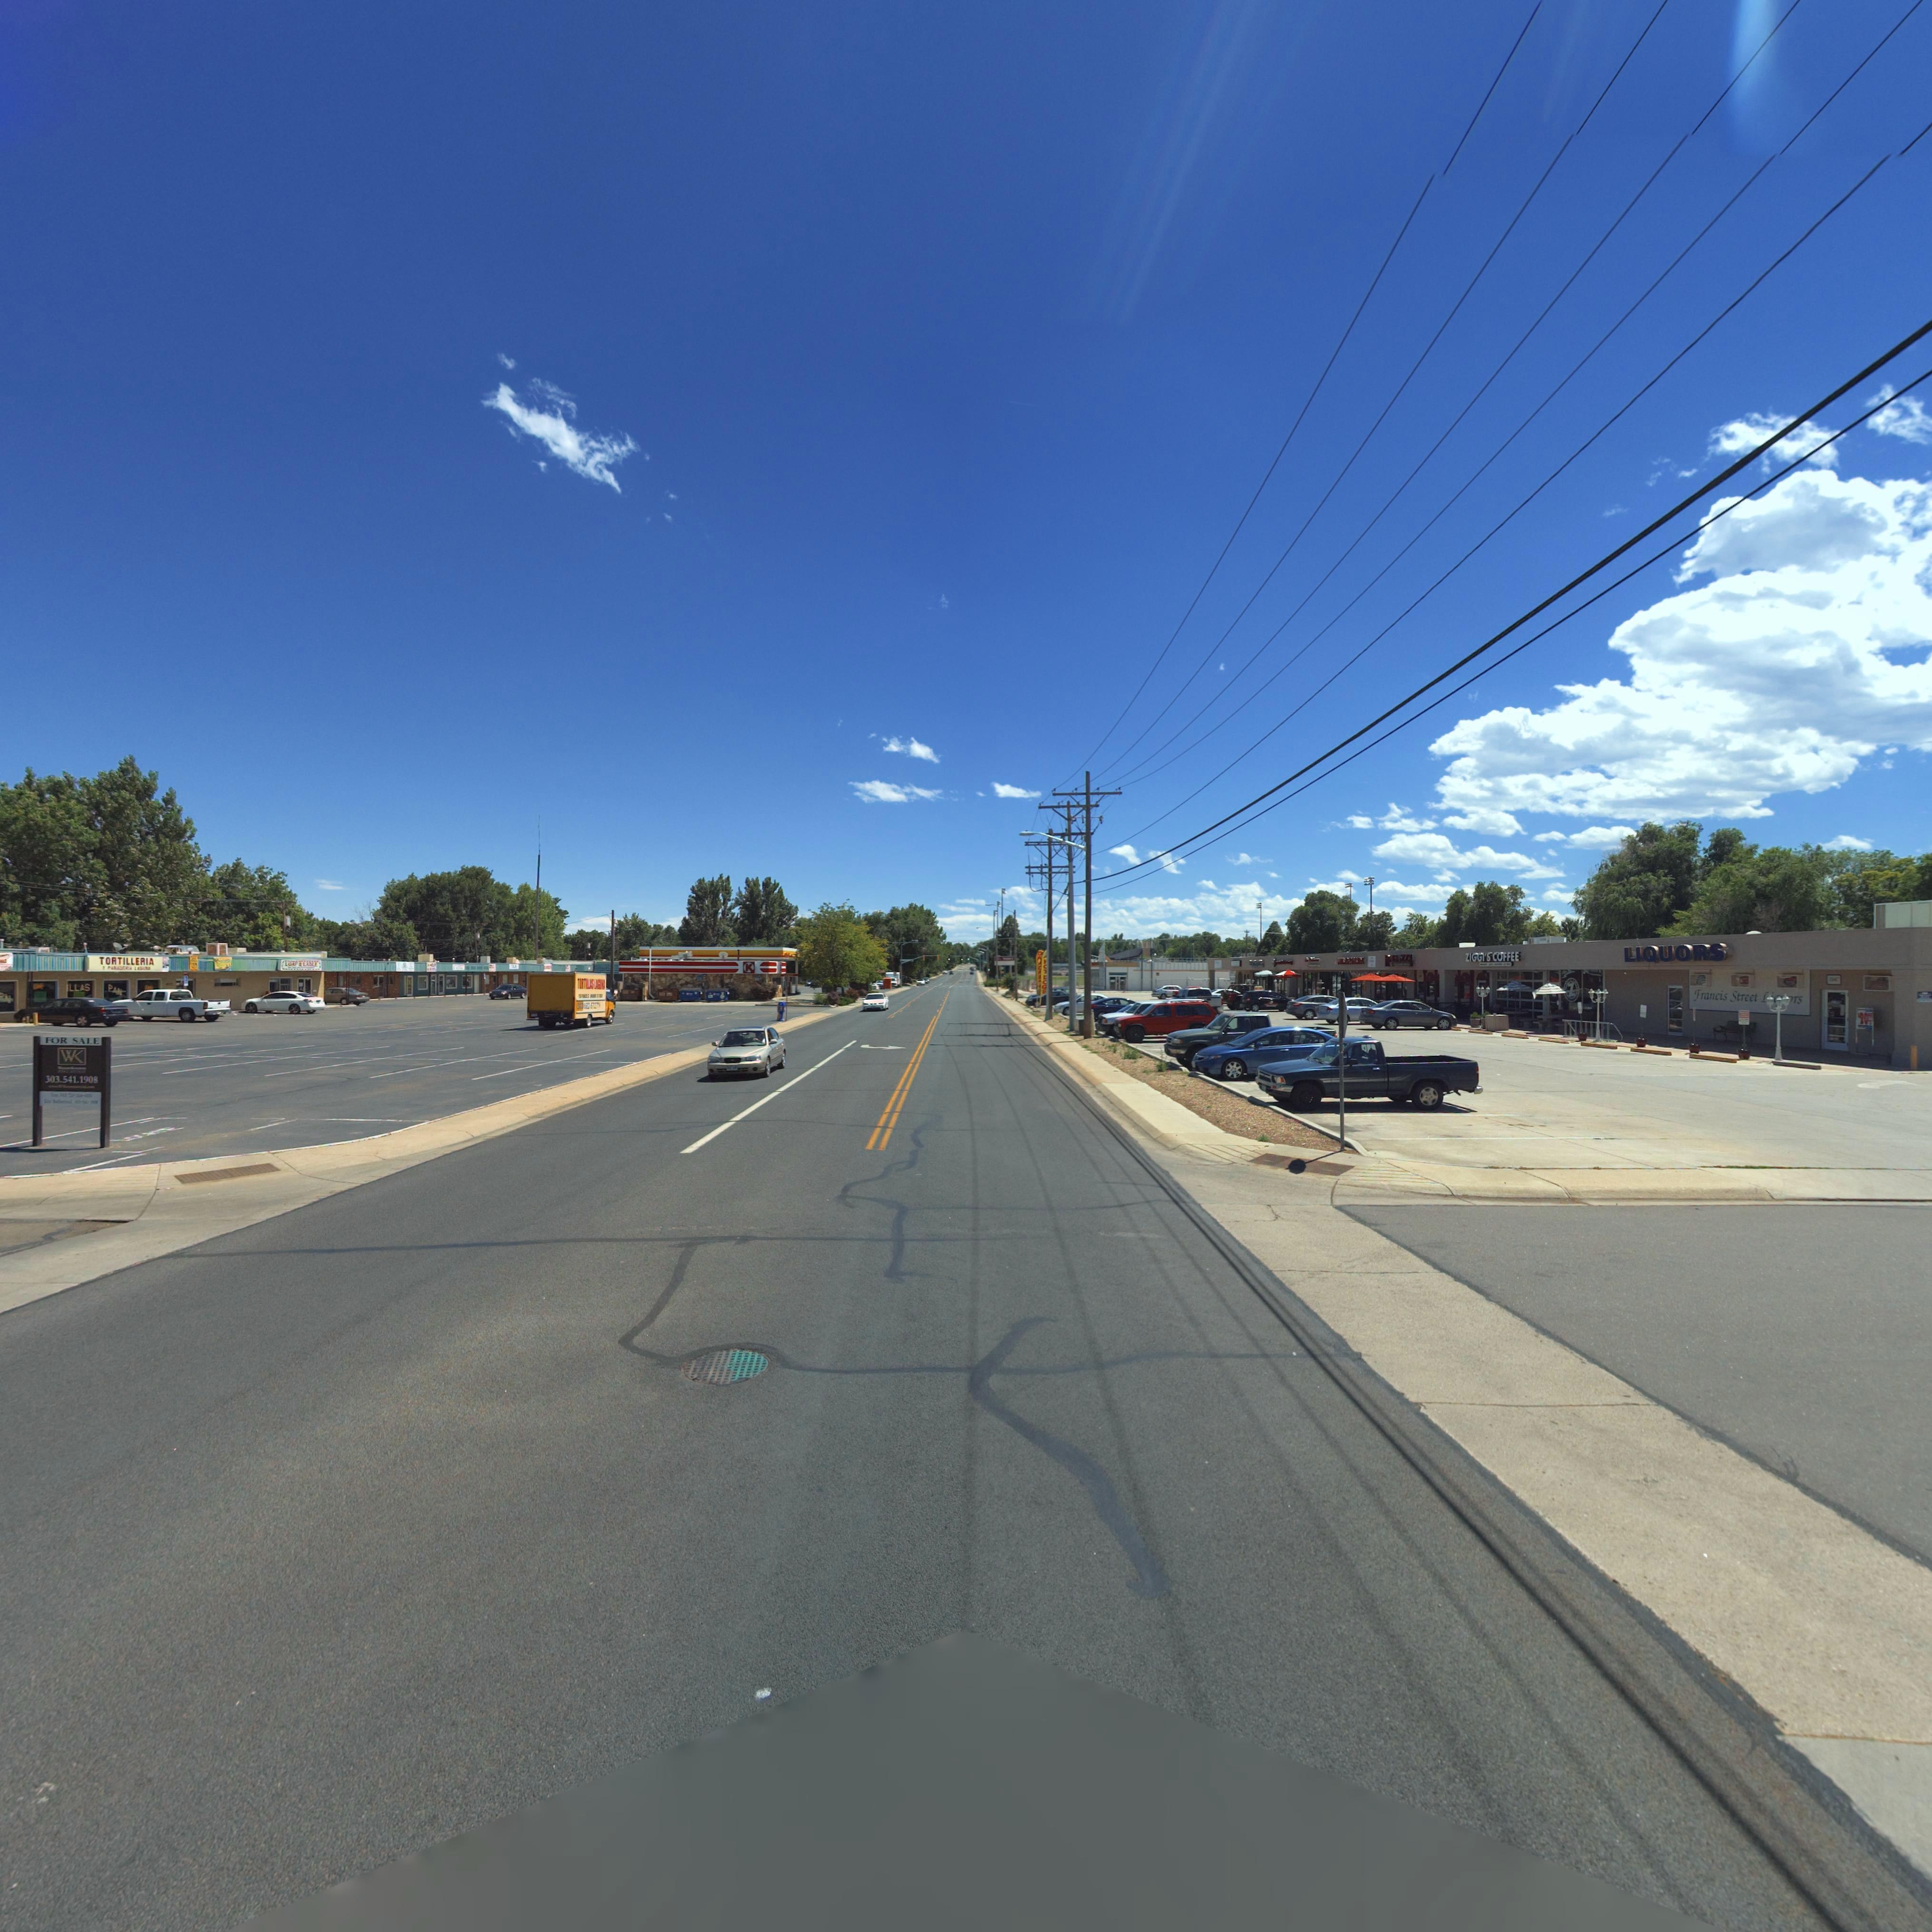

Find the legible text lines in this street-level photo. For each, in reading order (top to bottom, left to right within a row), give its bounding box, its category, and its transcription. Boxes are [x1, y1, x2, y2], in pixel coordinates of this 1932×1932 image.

[98, 956, 154, 966] BusinessName: TORTILLERIA
[284, 961, 318, 966] BusinessName: LU** * L**LE
[1400, 954, 1412, 962] BusinessName: ZZI
[1465, 951, 1520, 962] BusinessName: ZIGGI'S COFFEE
[1623, 943, 1728, 963] None: LIQUORS
[1693, 989, 1803, 1004] BusinessName: Francis Street L****rs